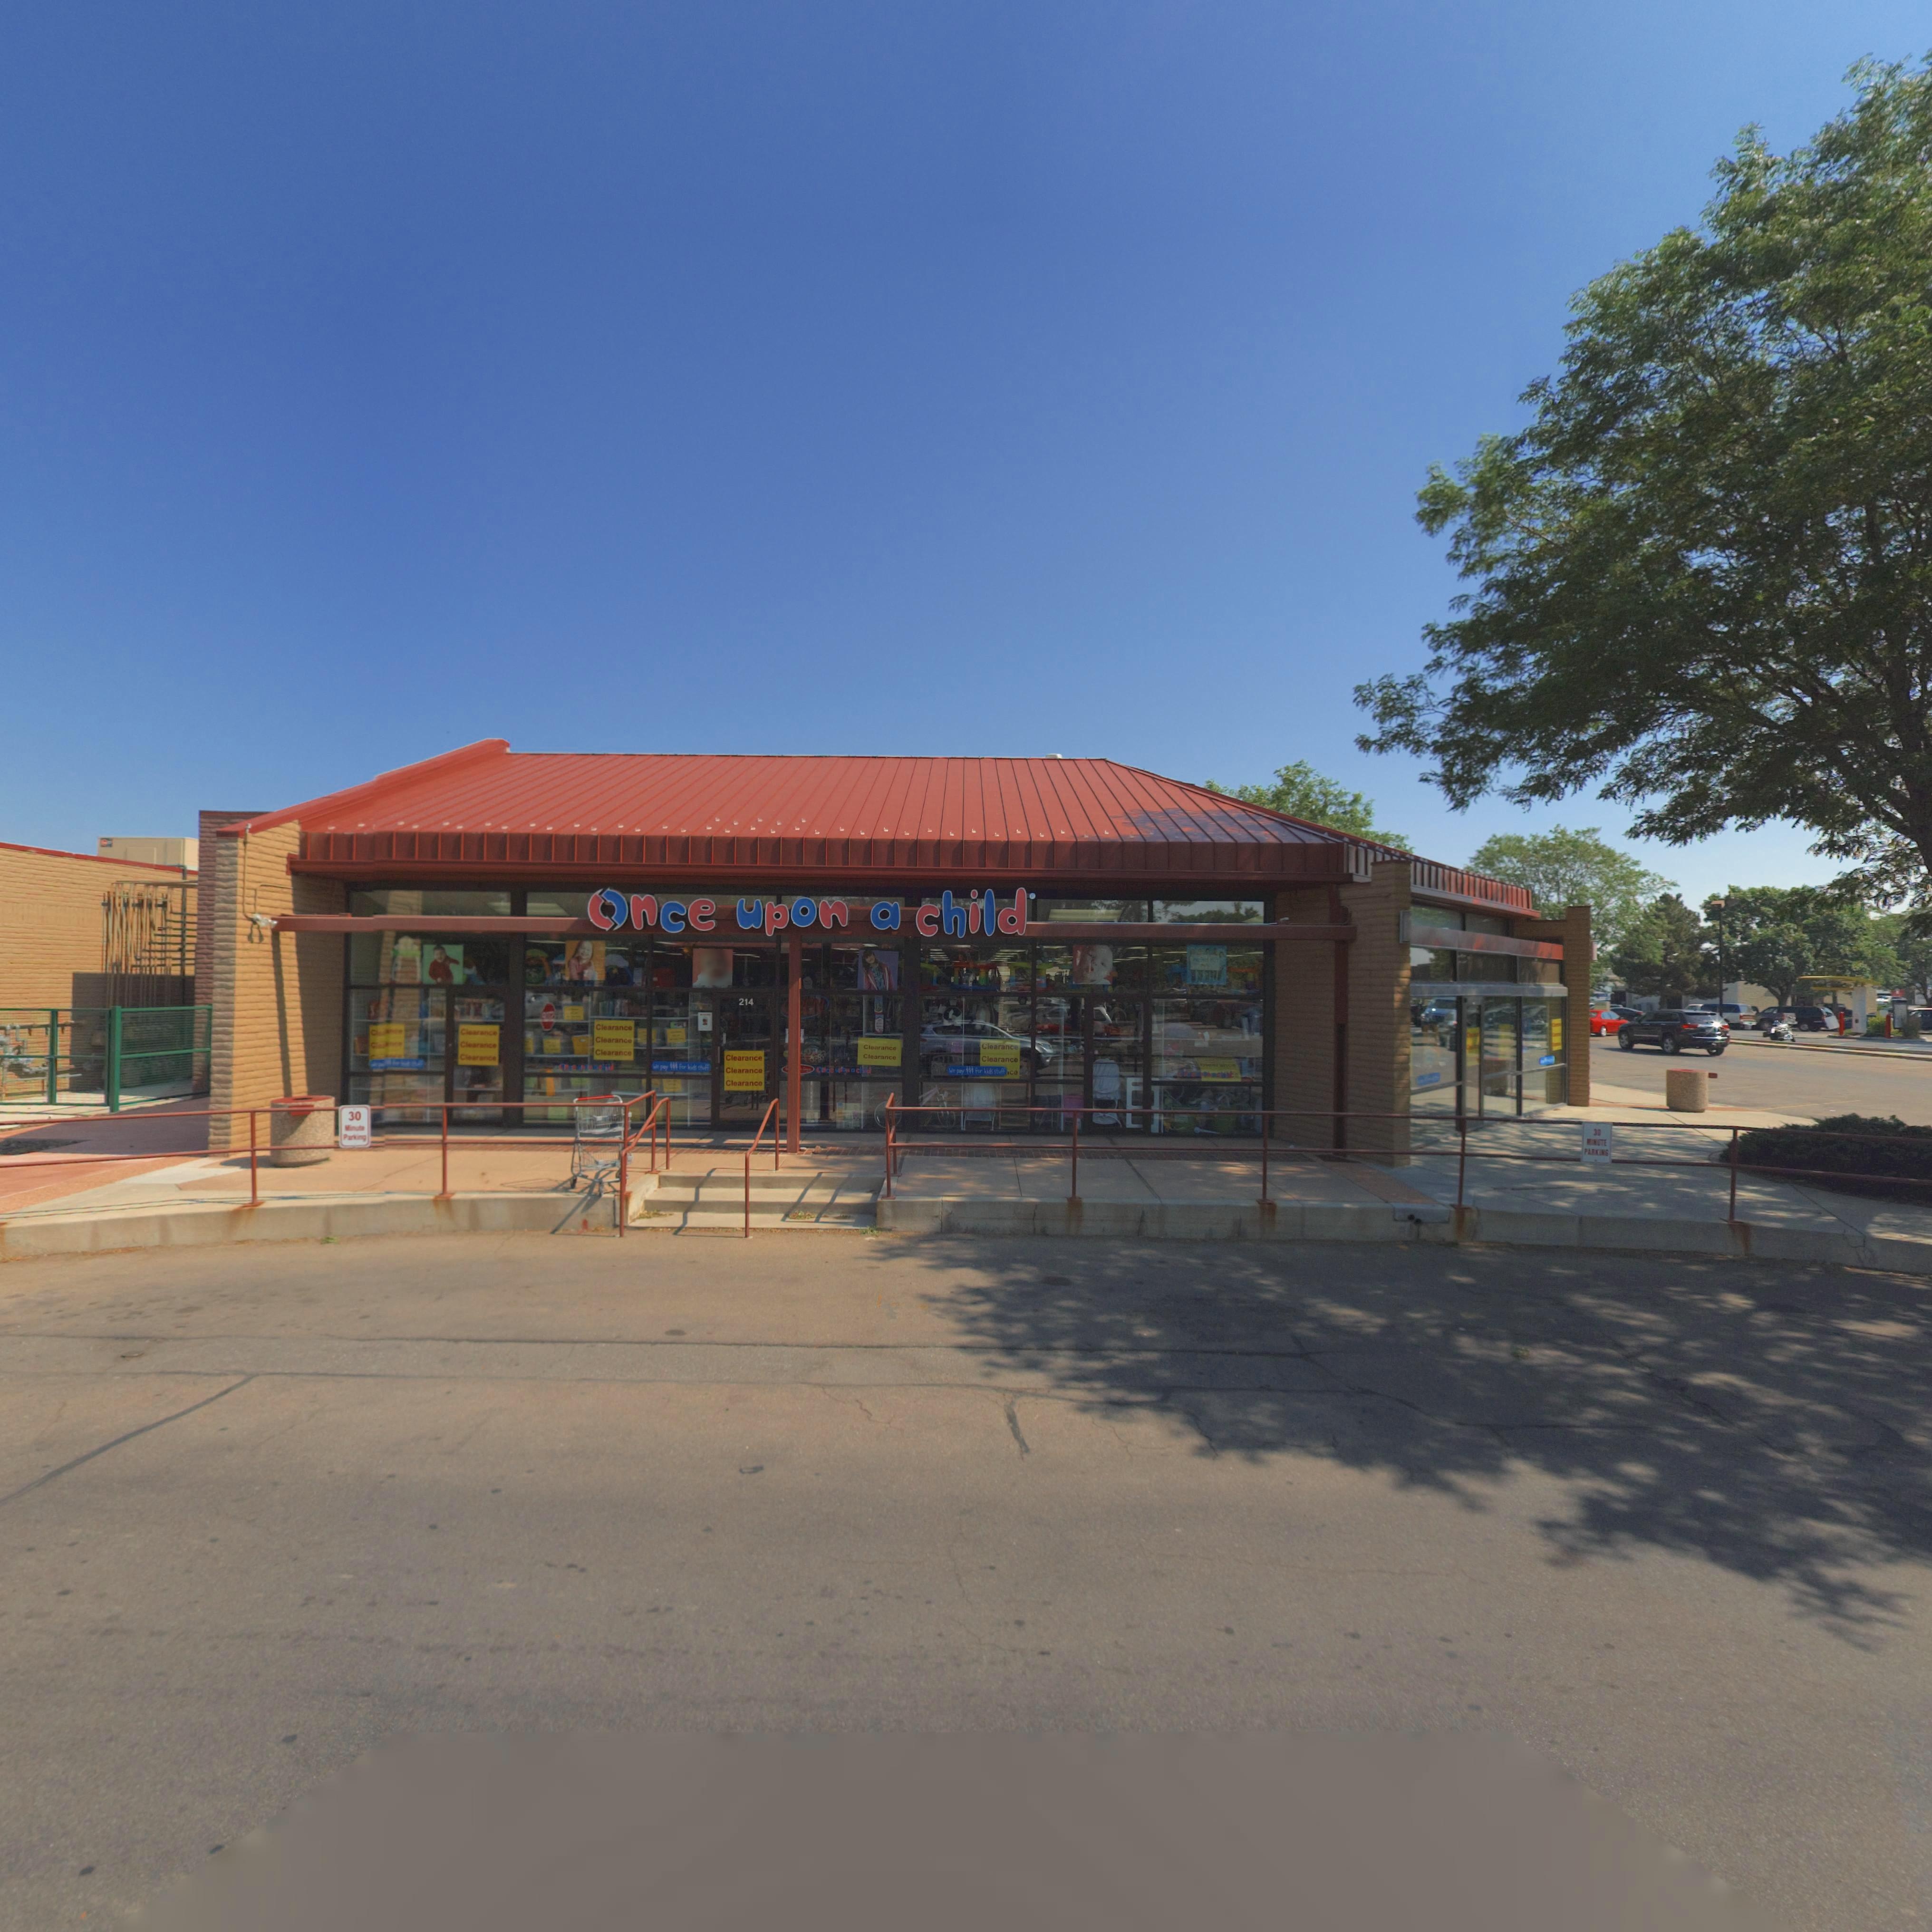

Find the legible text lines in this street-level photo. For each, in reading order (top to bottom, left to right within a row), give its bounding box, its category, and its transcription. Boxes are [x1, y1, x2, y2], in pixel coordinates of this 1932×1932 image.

[586, 885, 1029, 939] BusinessName: Once upon a child
[738, 998, 754, 1005] StreetNumber: 214
[558, 1063, 615, 1071] BusinessName: On*e ***n * c*ild
[815, 1066, 871, 1074] BusinessName: One upon a child
[1177, 1070, 1235, 1078] BusinessName: Onc* **** * ch*ld